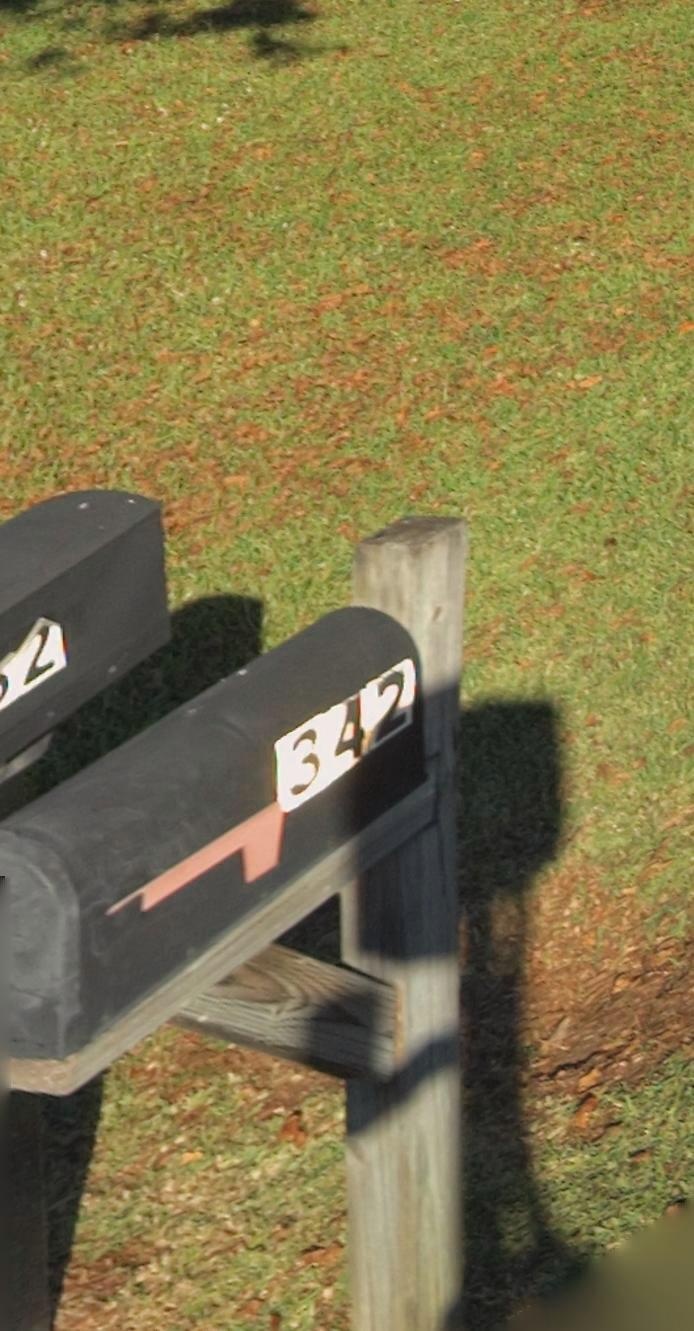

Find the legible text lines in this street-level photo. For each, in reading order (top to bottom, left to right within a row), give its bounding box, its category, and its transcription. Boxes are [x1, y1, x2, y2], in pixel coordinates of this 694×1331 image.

[1, 616, 64, 712] StreetNumber: 2
[285, 662, 409, 807] StreetNumber: 342